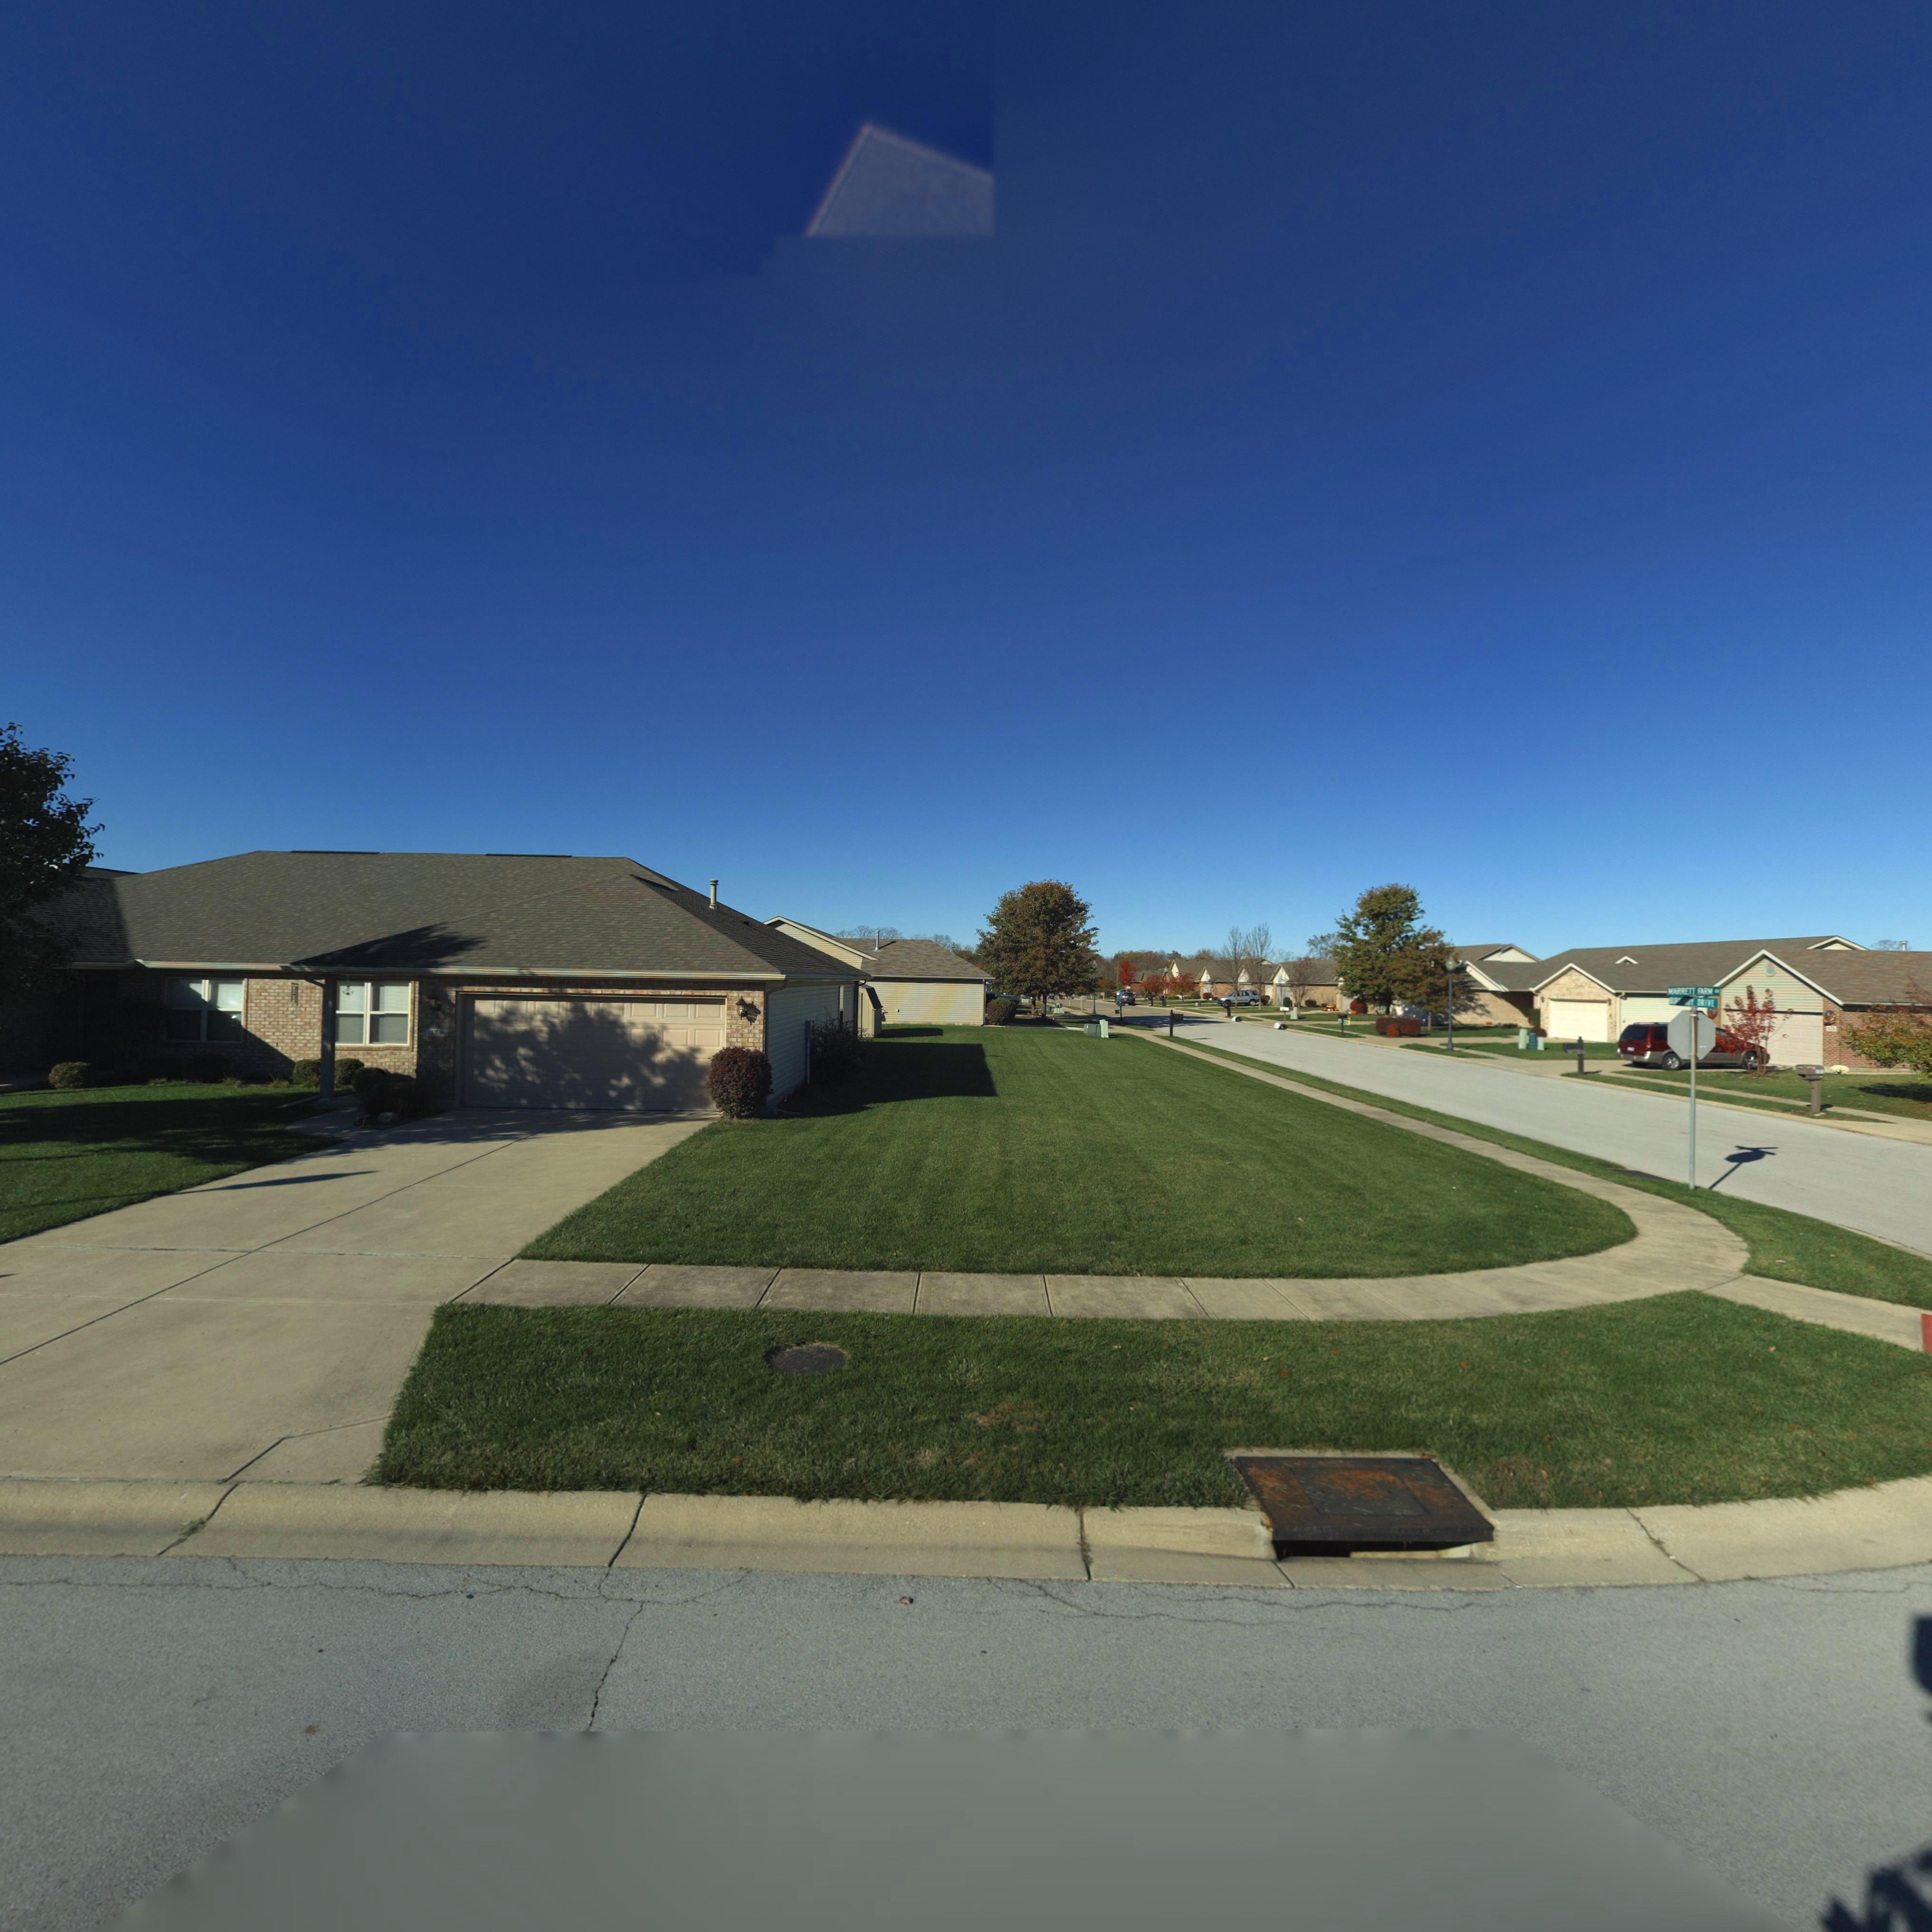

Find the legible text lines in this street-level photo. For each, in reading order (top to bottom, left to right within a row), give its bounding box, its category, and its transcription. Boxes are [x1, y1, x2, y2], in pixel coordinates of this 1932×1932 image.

[430, 1029, 444, 1036] StreetNumber: 178